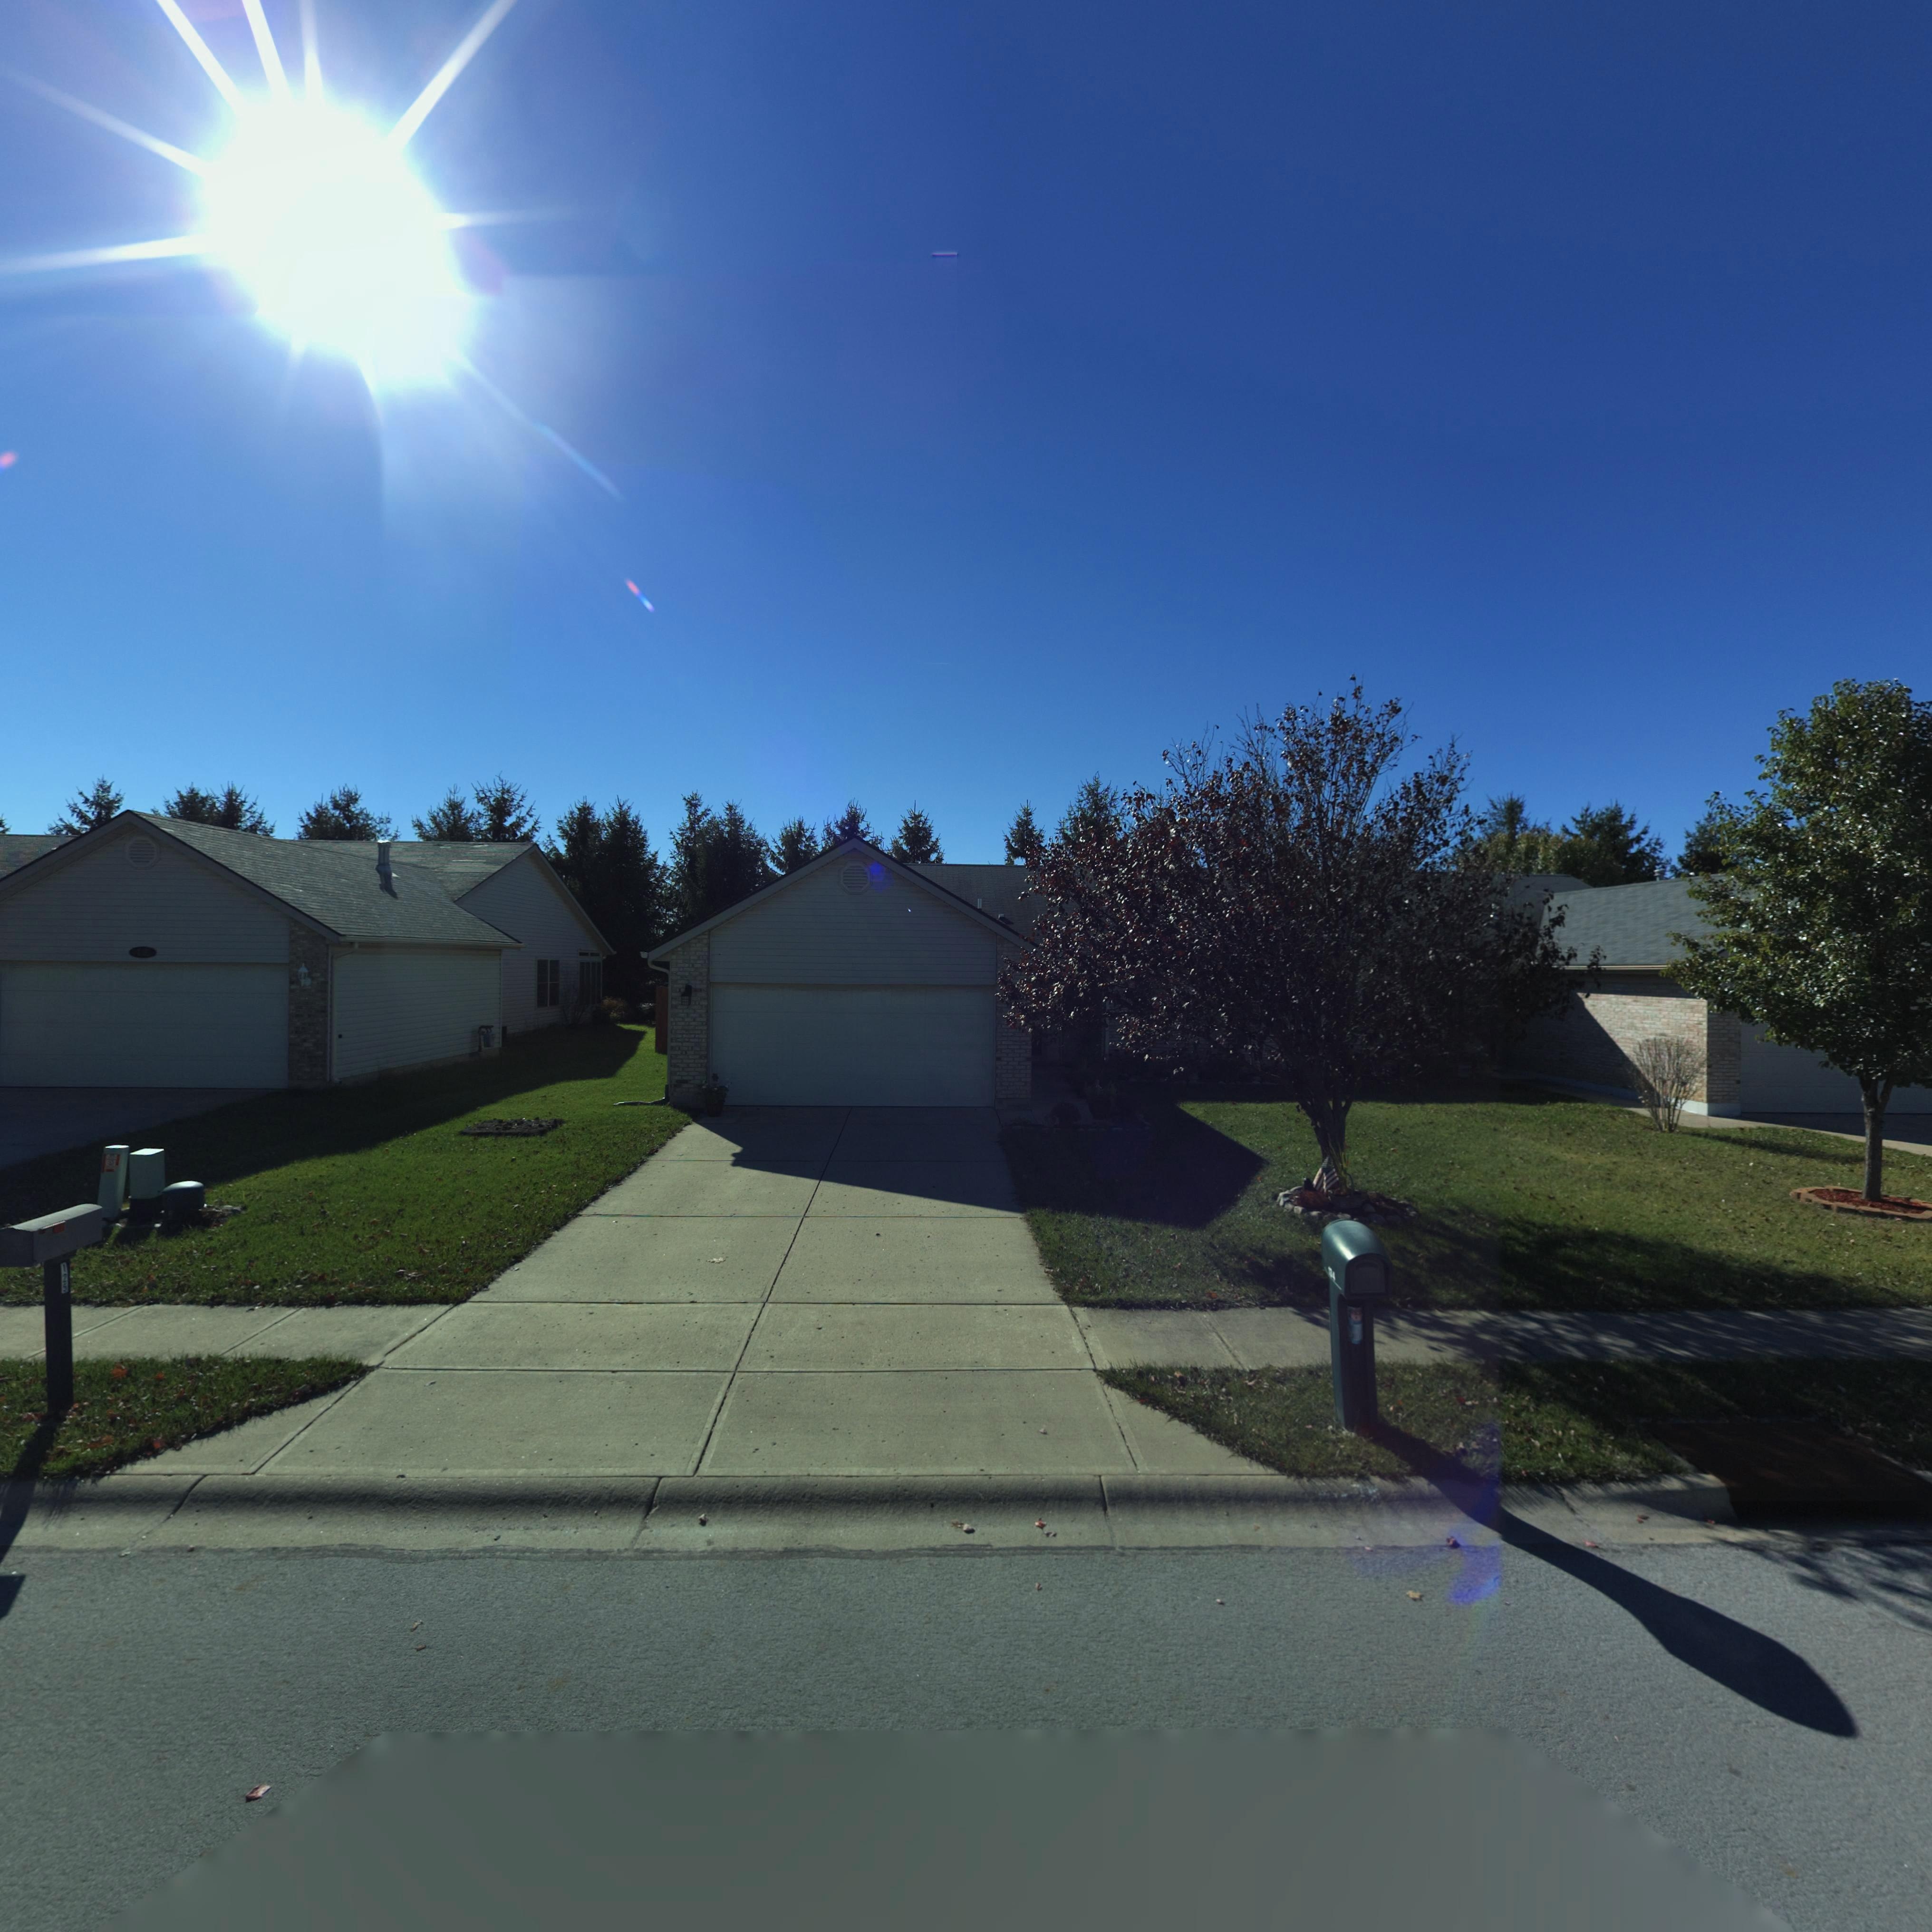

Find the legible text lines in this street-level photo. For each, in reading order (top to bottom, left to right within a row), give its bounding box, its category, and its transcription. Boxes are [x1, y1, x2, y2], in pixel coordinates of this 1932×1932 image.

[61, 1263, 68, 1293] StreetNumber: 125
[1327, 1264, 1336, 1283] StreetNumber: 134